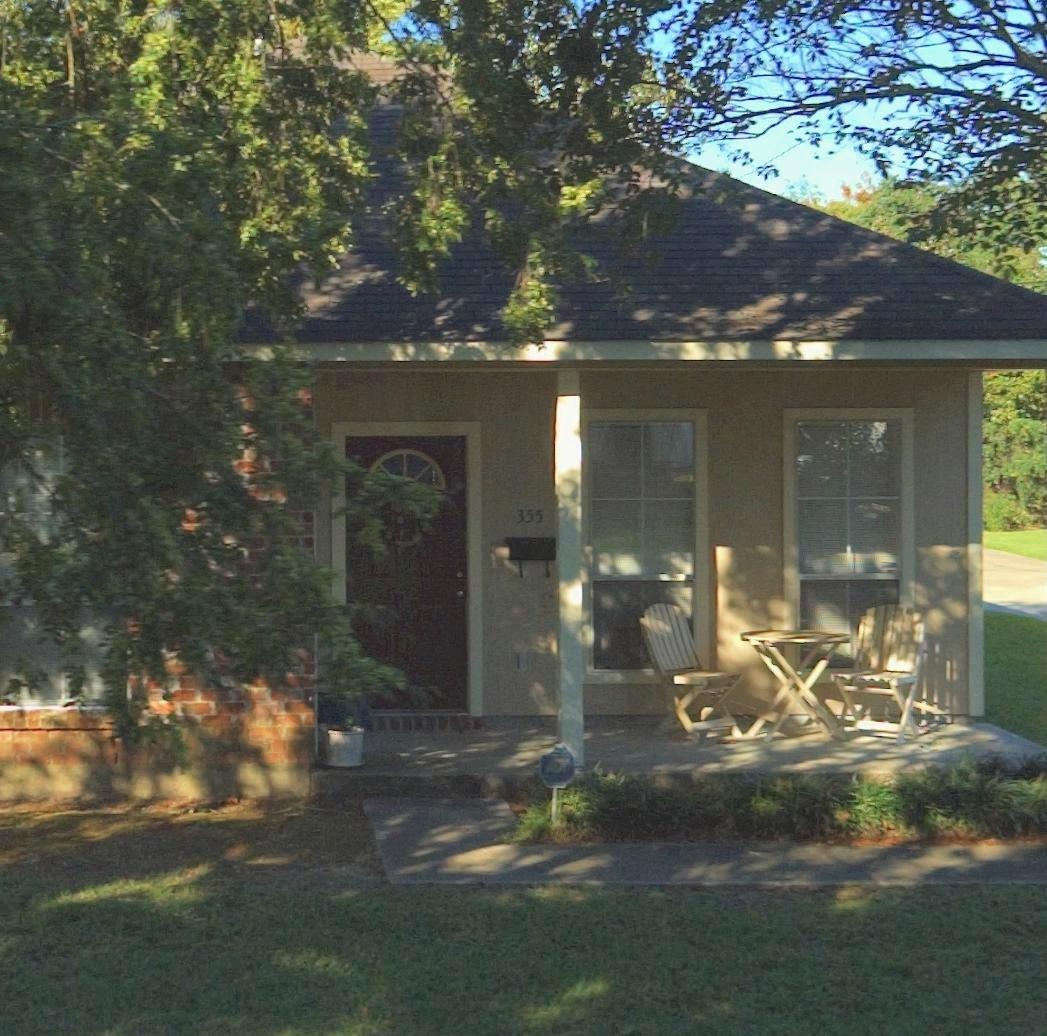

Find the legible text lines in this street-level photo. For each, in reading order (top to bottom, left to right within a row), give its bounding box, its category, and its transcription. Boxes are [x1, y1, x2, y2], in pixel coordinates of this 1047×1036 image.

[515, 508, 545, 525] StreetNumber: 355